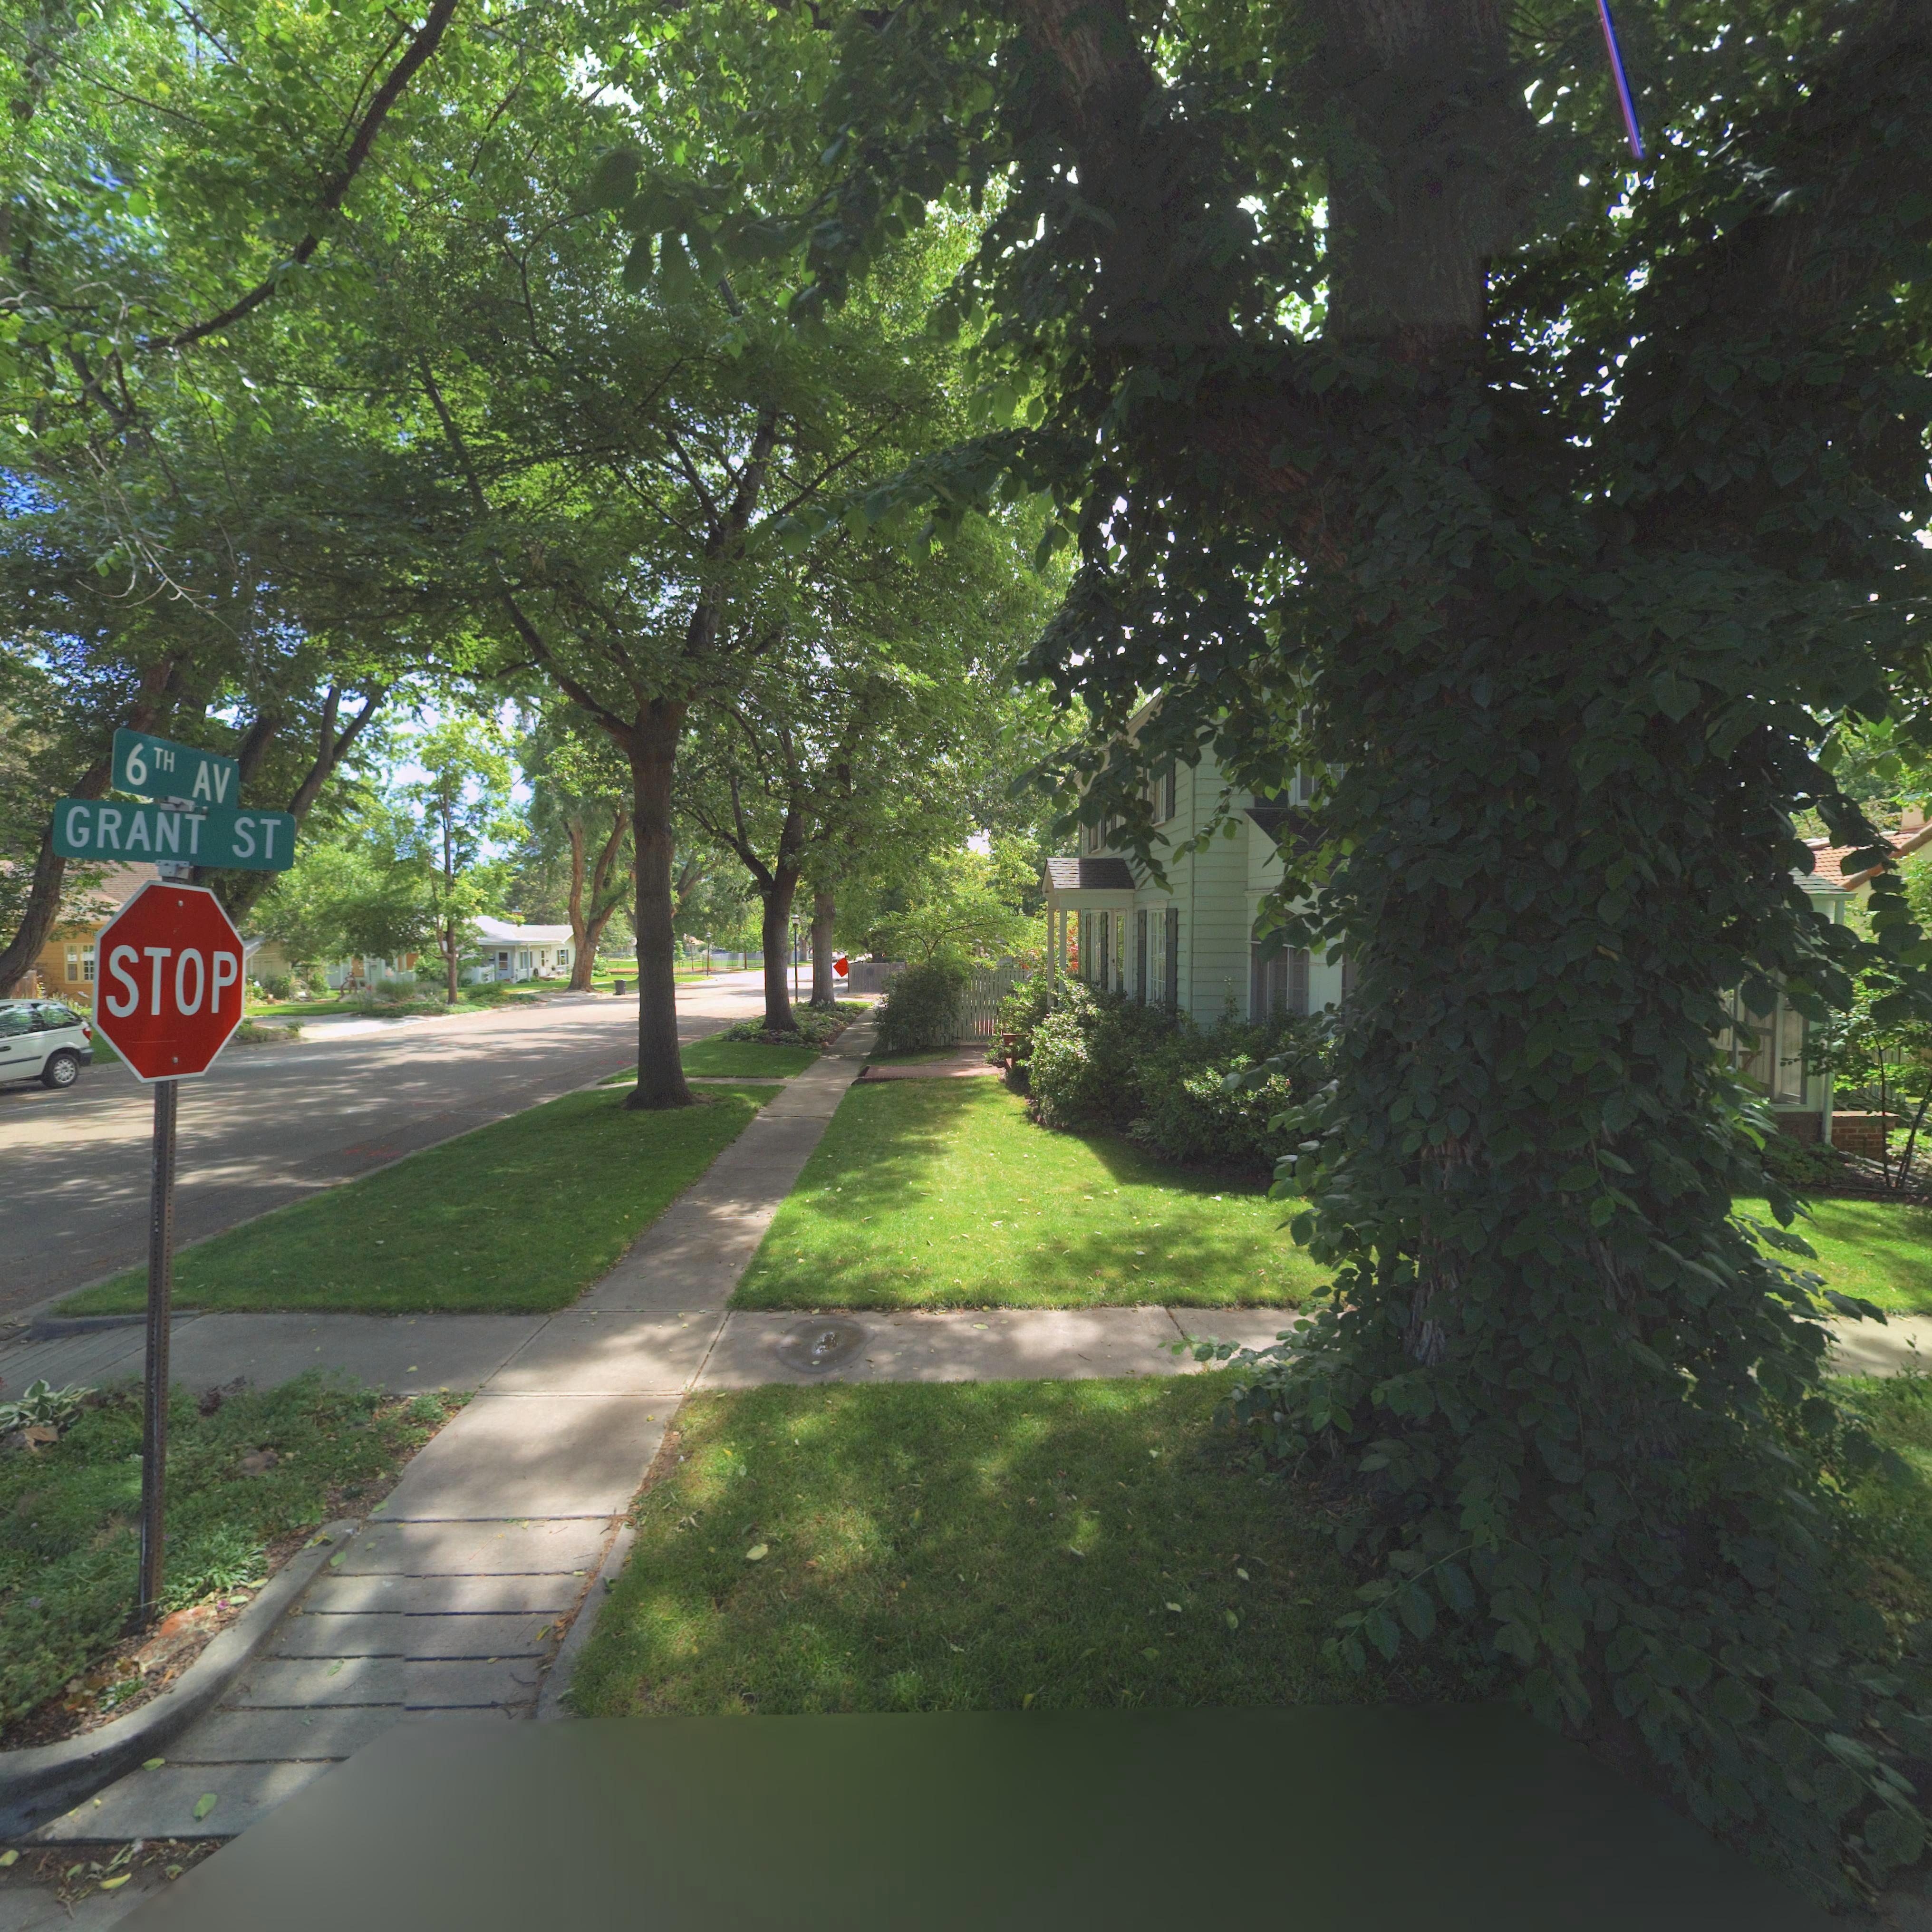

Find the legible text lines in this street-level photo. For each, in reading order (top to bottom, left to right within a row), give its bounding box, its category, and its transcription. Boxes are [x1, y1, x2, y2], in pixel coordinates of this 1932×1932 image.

[125, 741, 232, 804] StreetName: 6TH AV
[66, 805, 282, 859] StreetName: GRANT ST